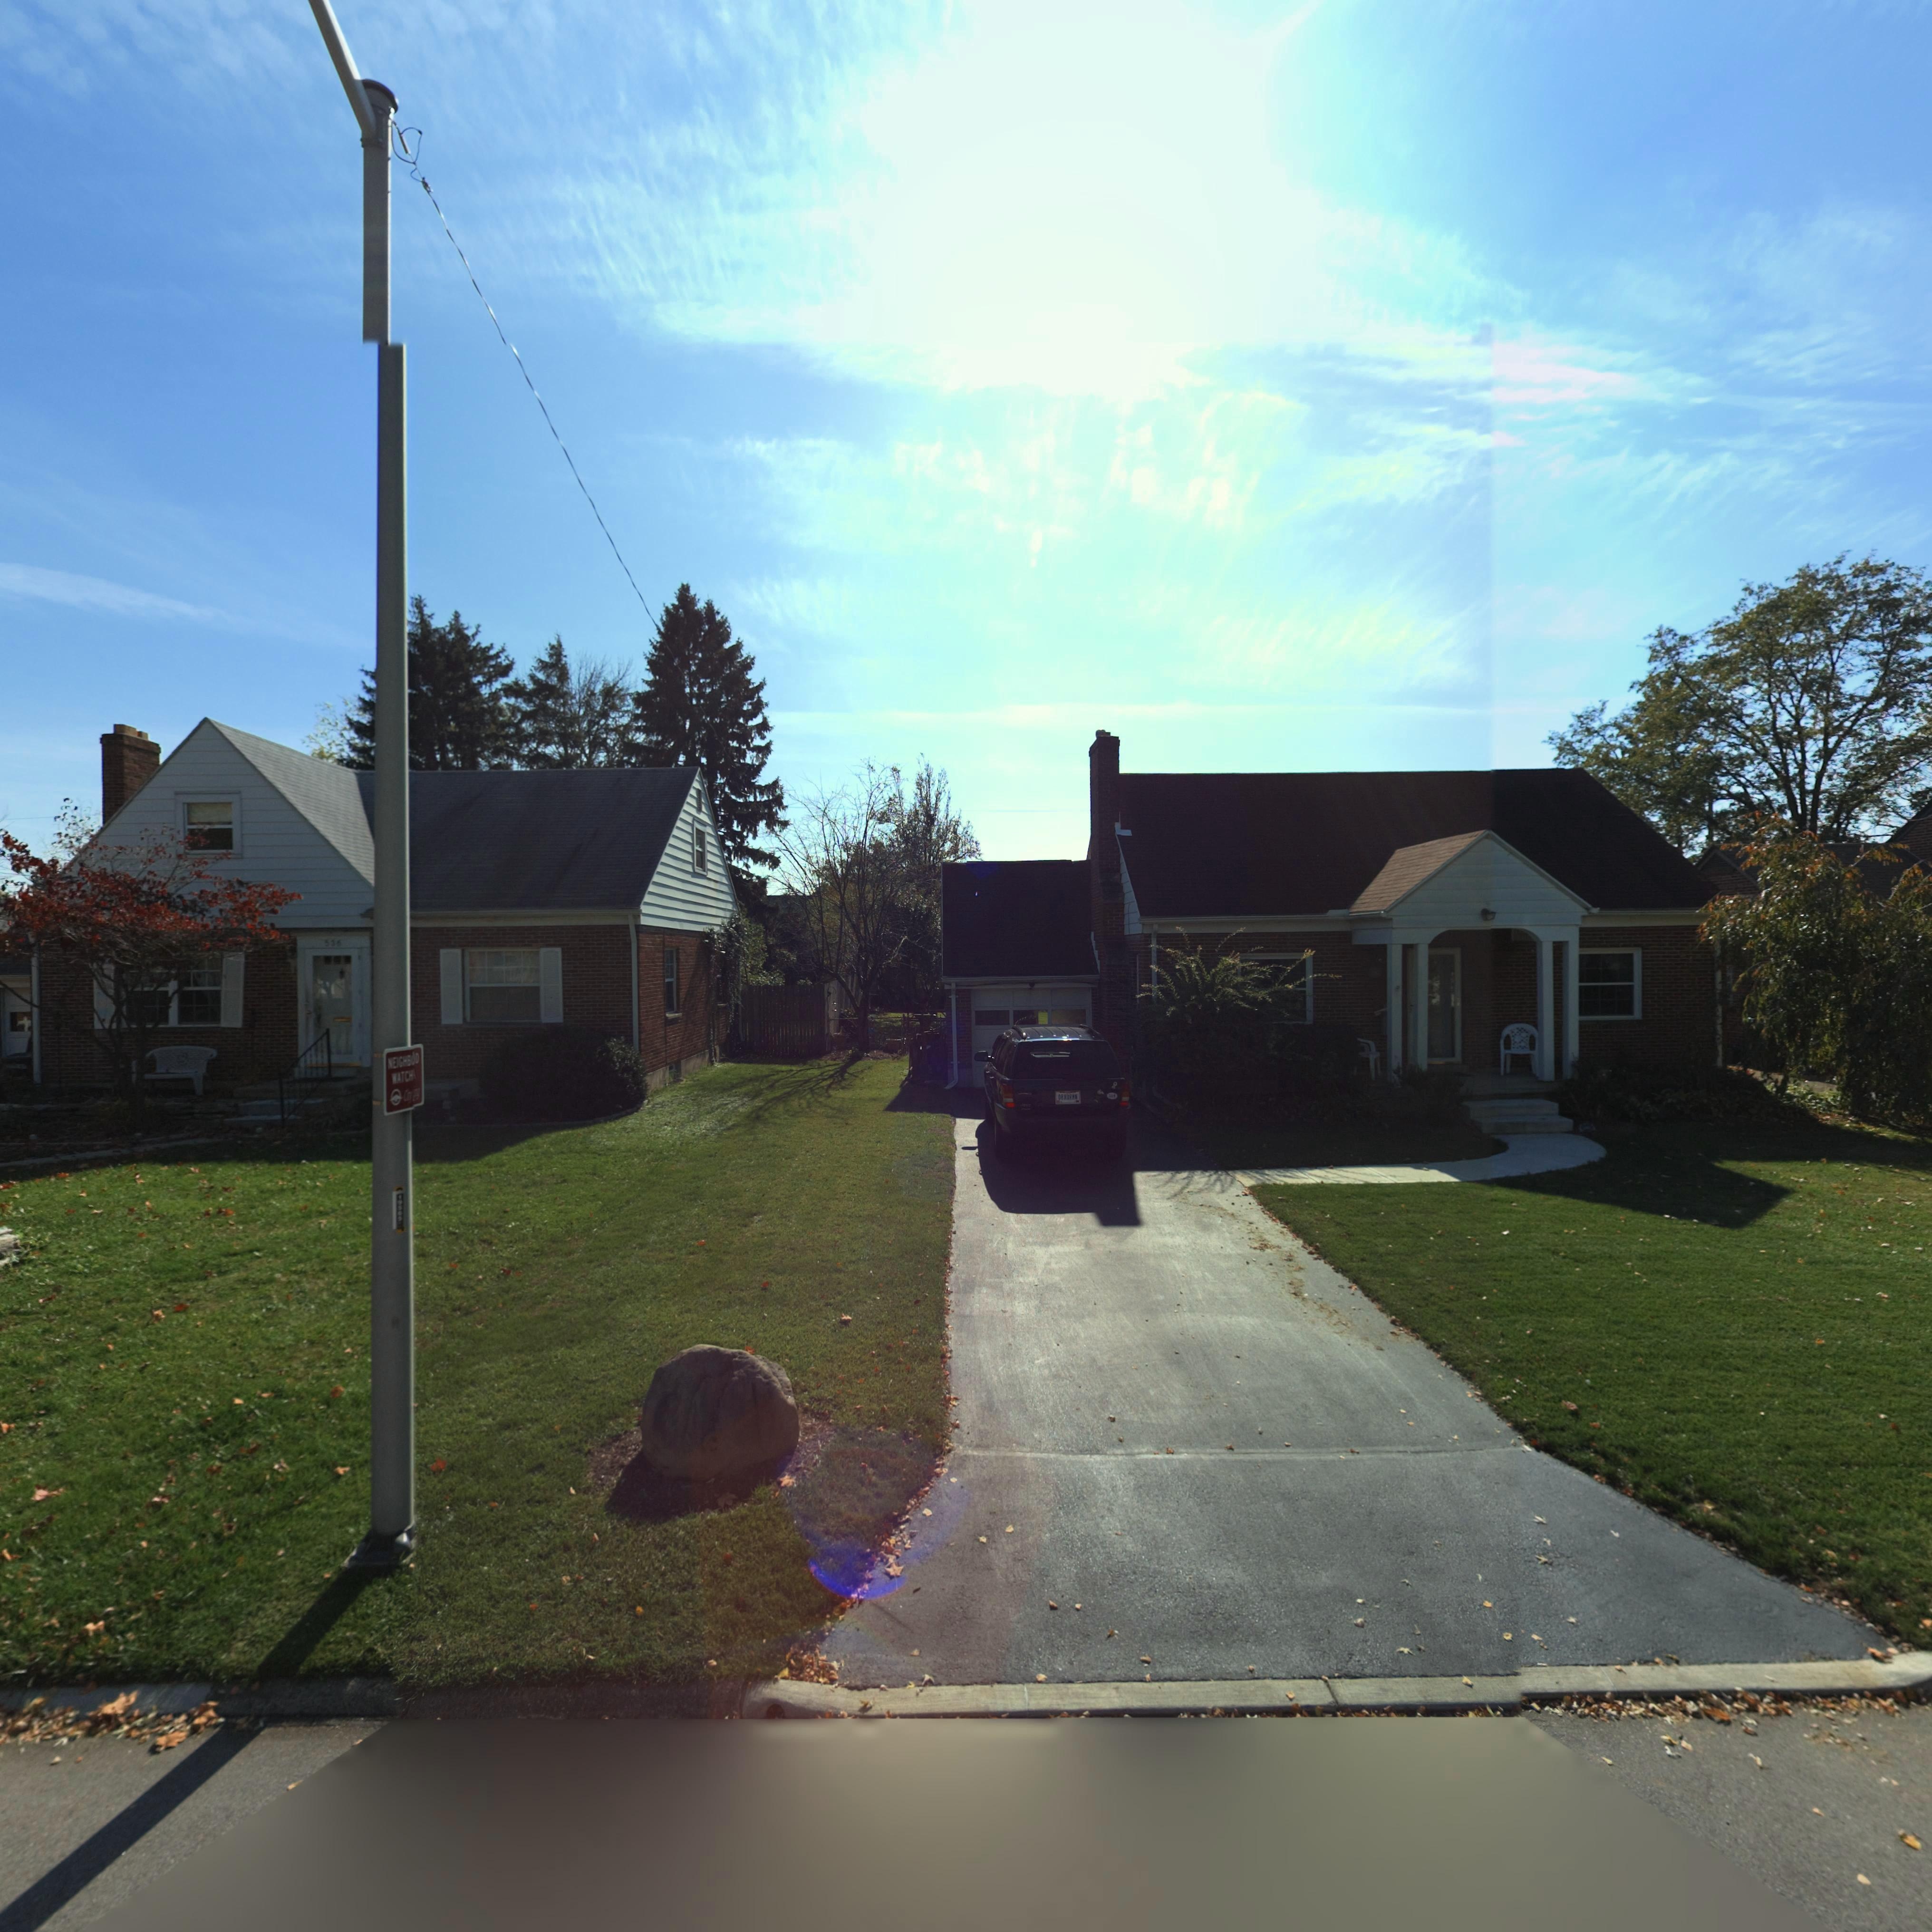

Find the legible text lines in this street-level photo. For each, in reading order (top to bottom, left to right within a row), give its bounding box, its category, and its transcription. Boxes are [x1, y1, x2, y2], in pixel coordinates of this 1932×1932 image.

[324, 938, 342, 947] StreetNumber: 536
[387, 1054, 411, 1070] None: NEIGHB
[390, 1070, 414, 1085] None: WATCH
[1058, 1093, 1078, 1100] None: OBX*R**
[397, 1194, 403, 1222] None: 19965